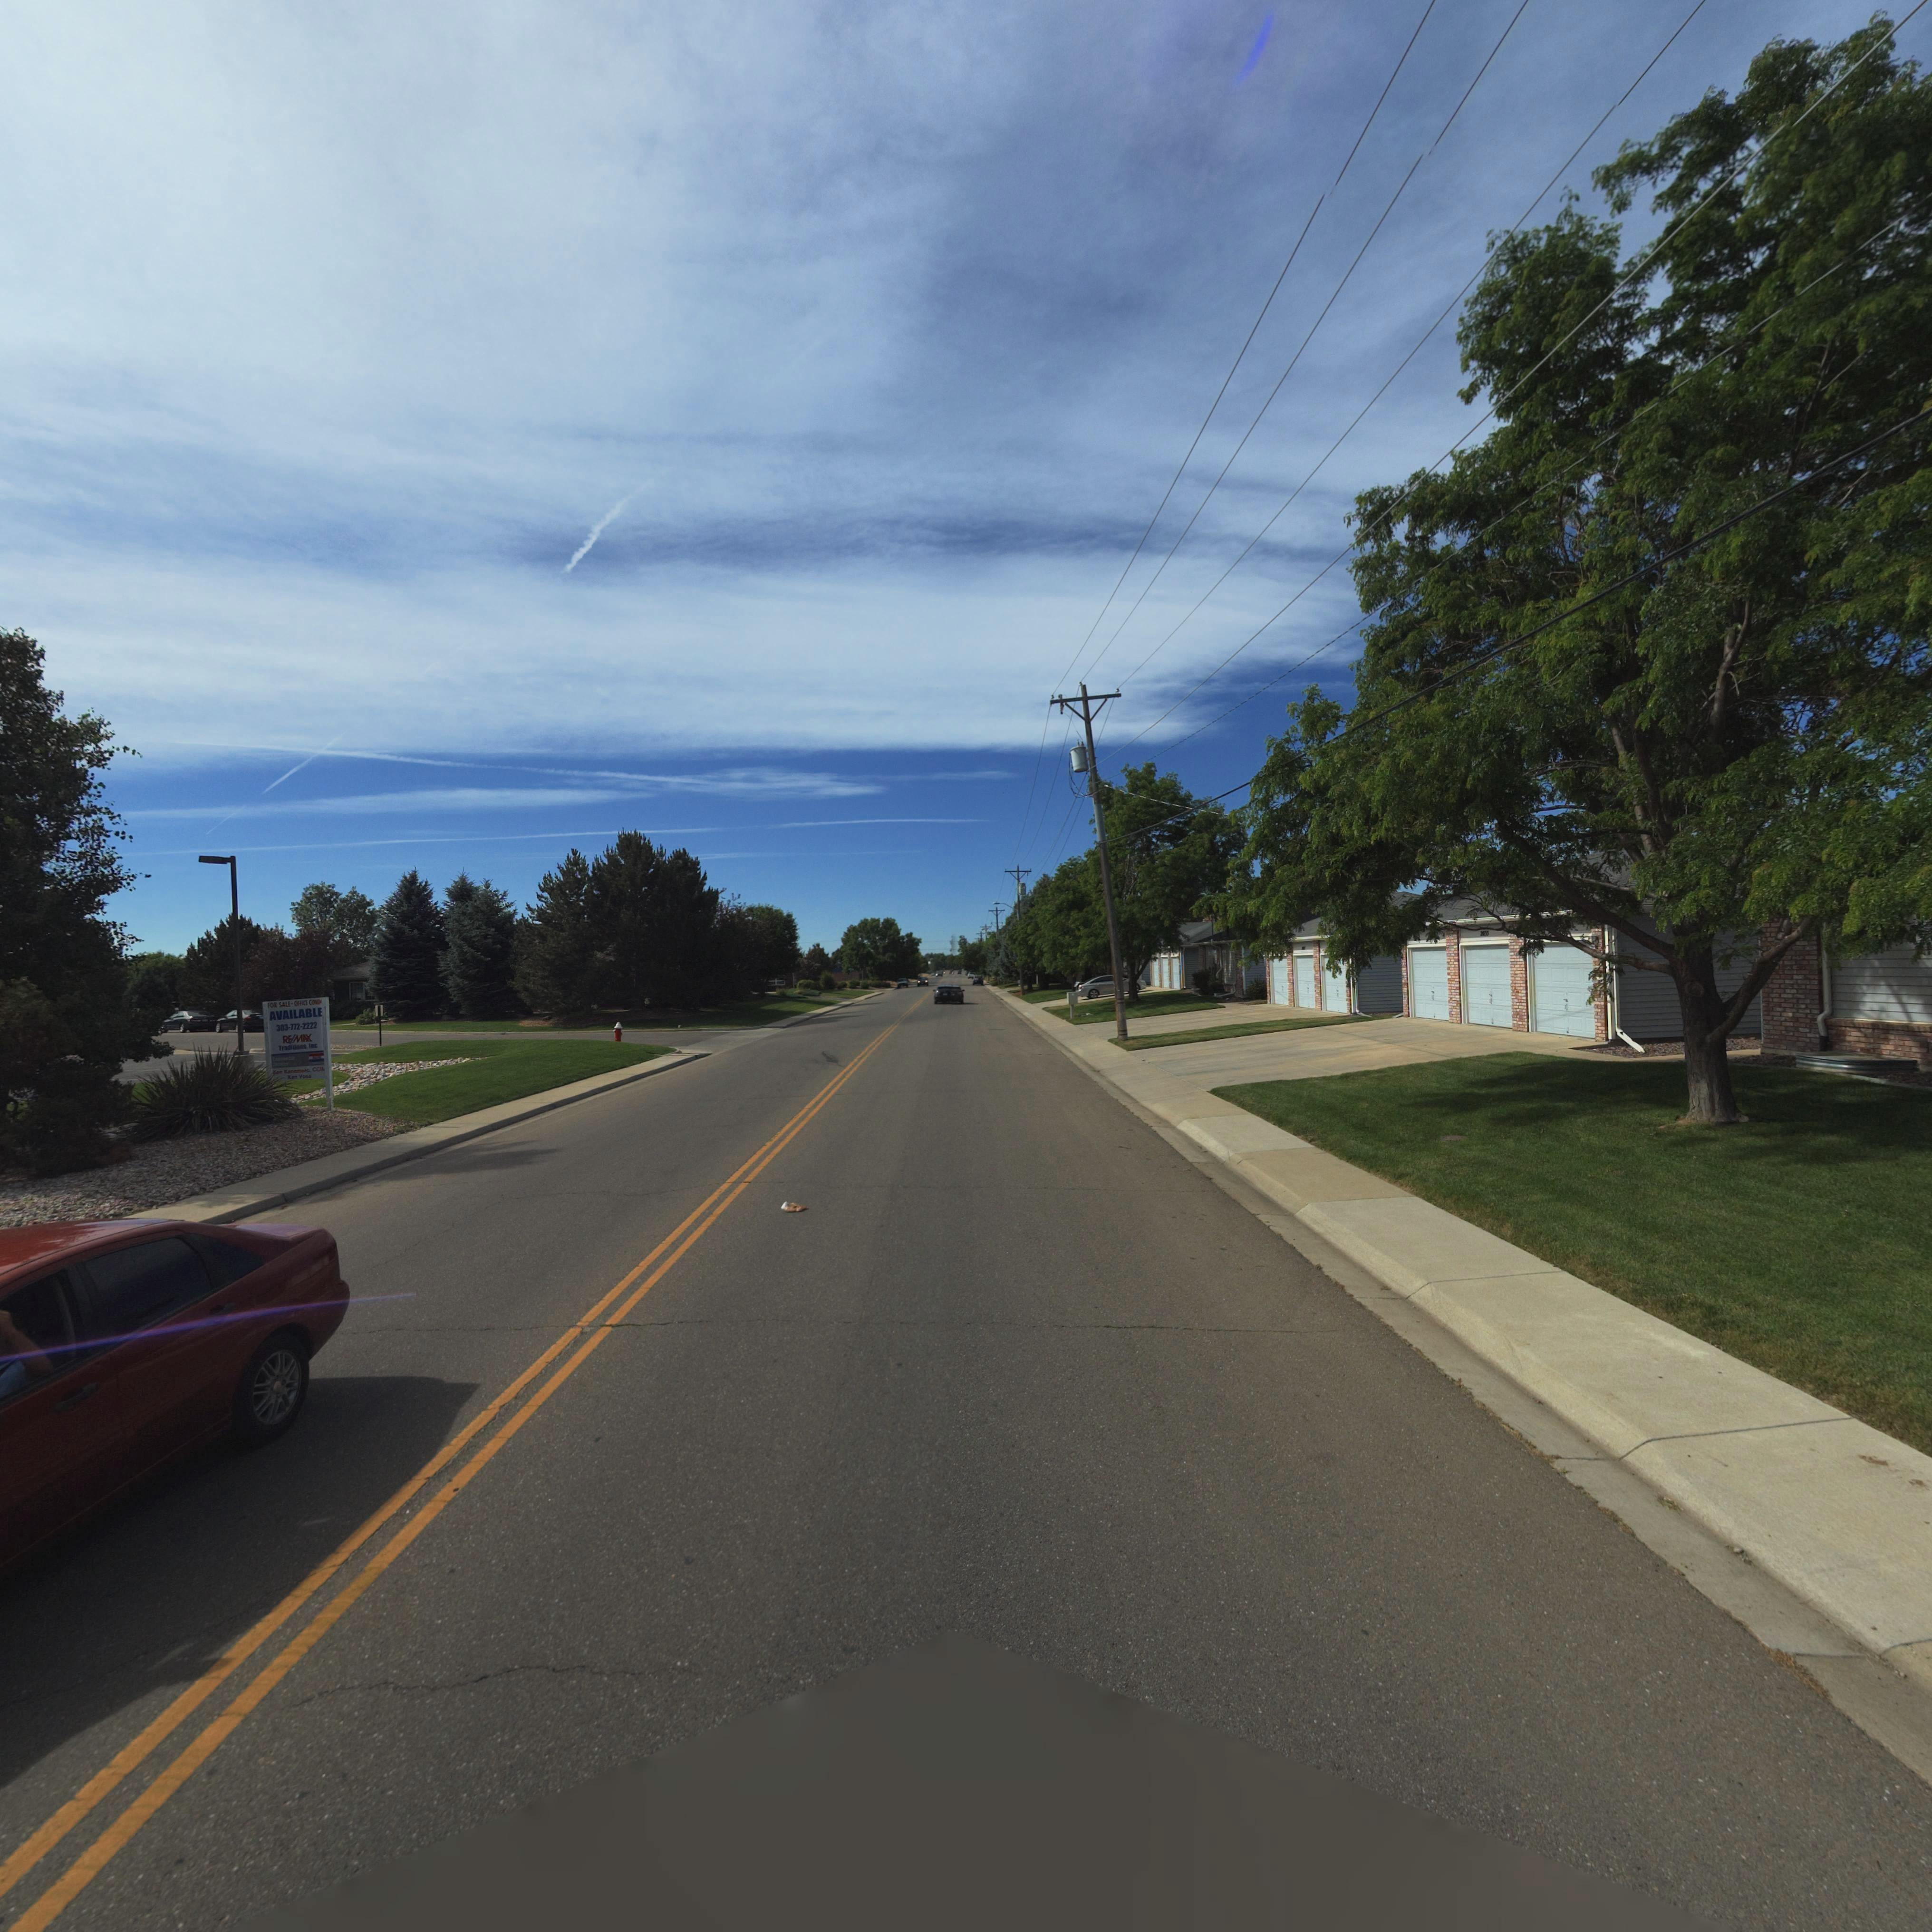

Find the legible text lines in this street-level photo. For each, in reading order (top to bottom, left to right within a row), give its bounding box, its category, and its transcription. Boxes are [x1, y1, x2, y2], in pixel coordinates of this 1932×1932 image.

[1479, 930, 1489, 936] StreetNumber: 2**5